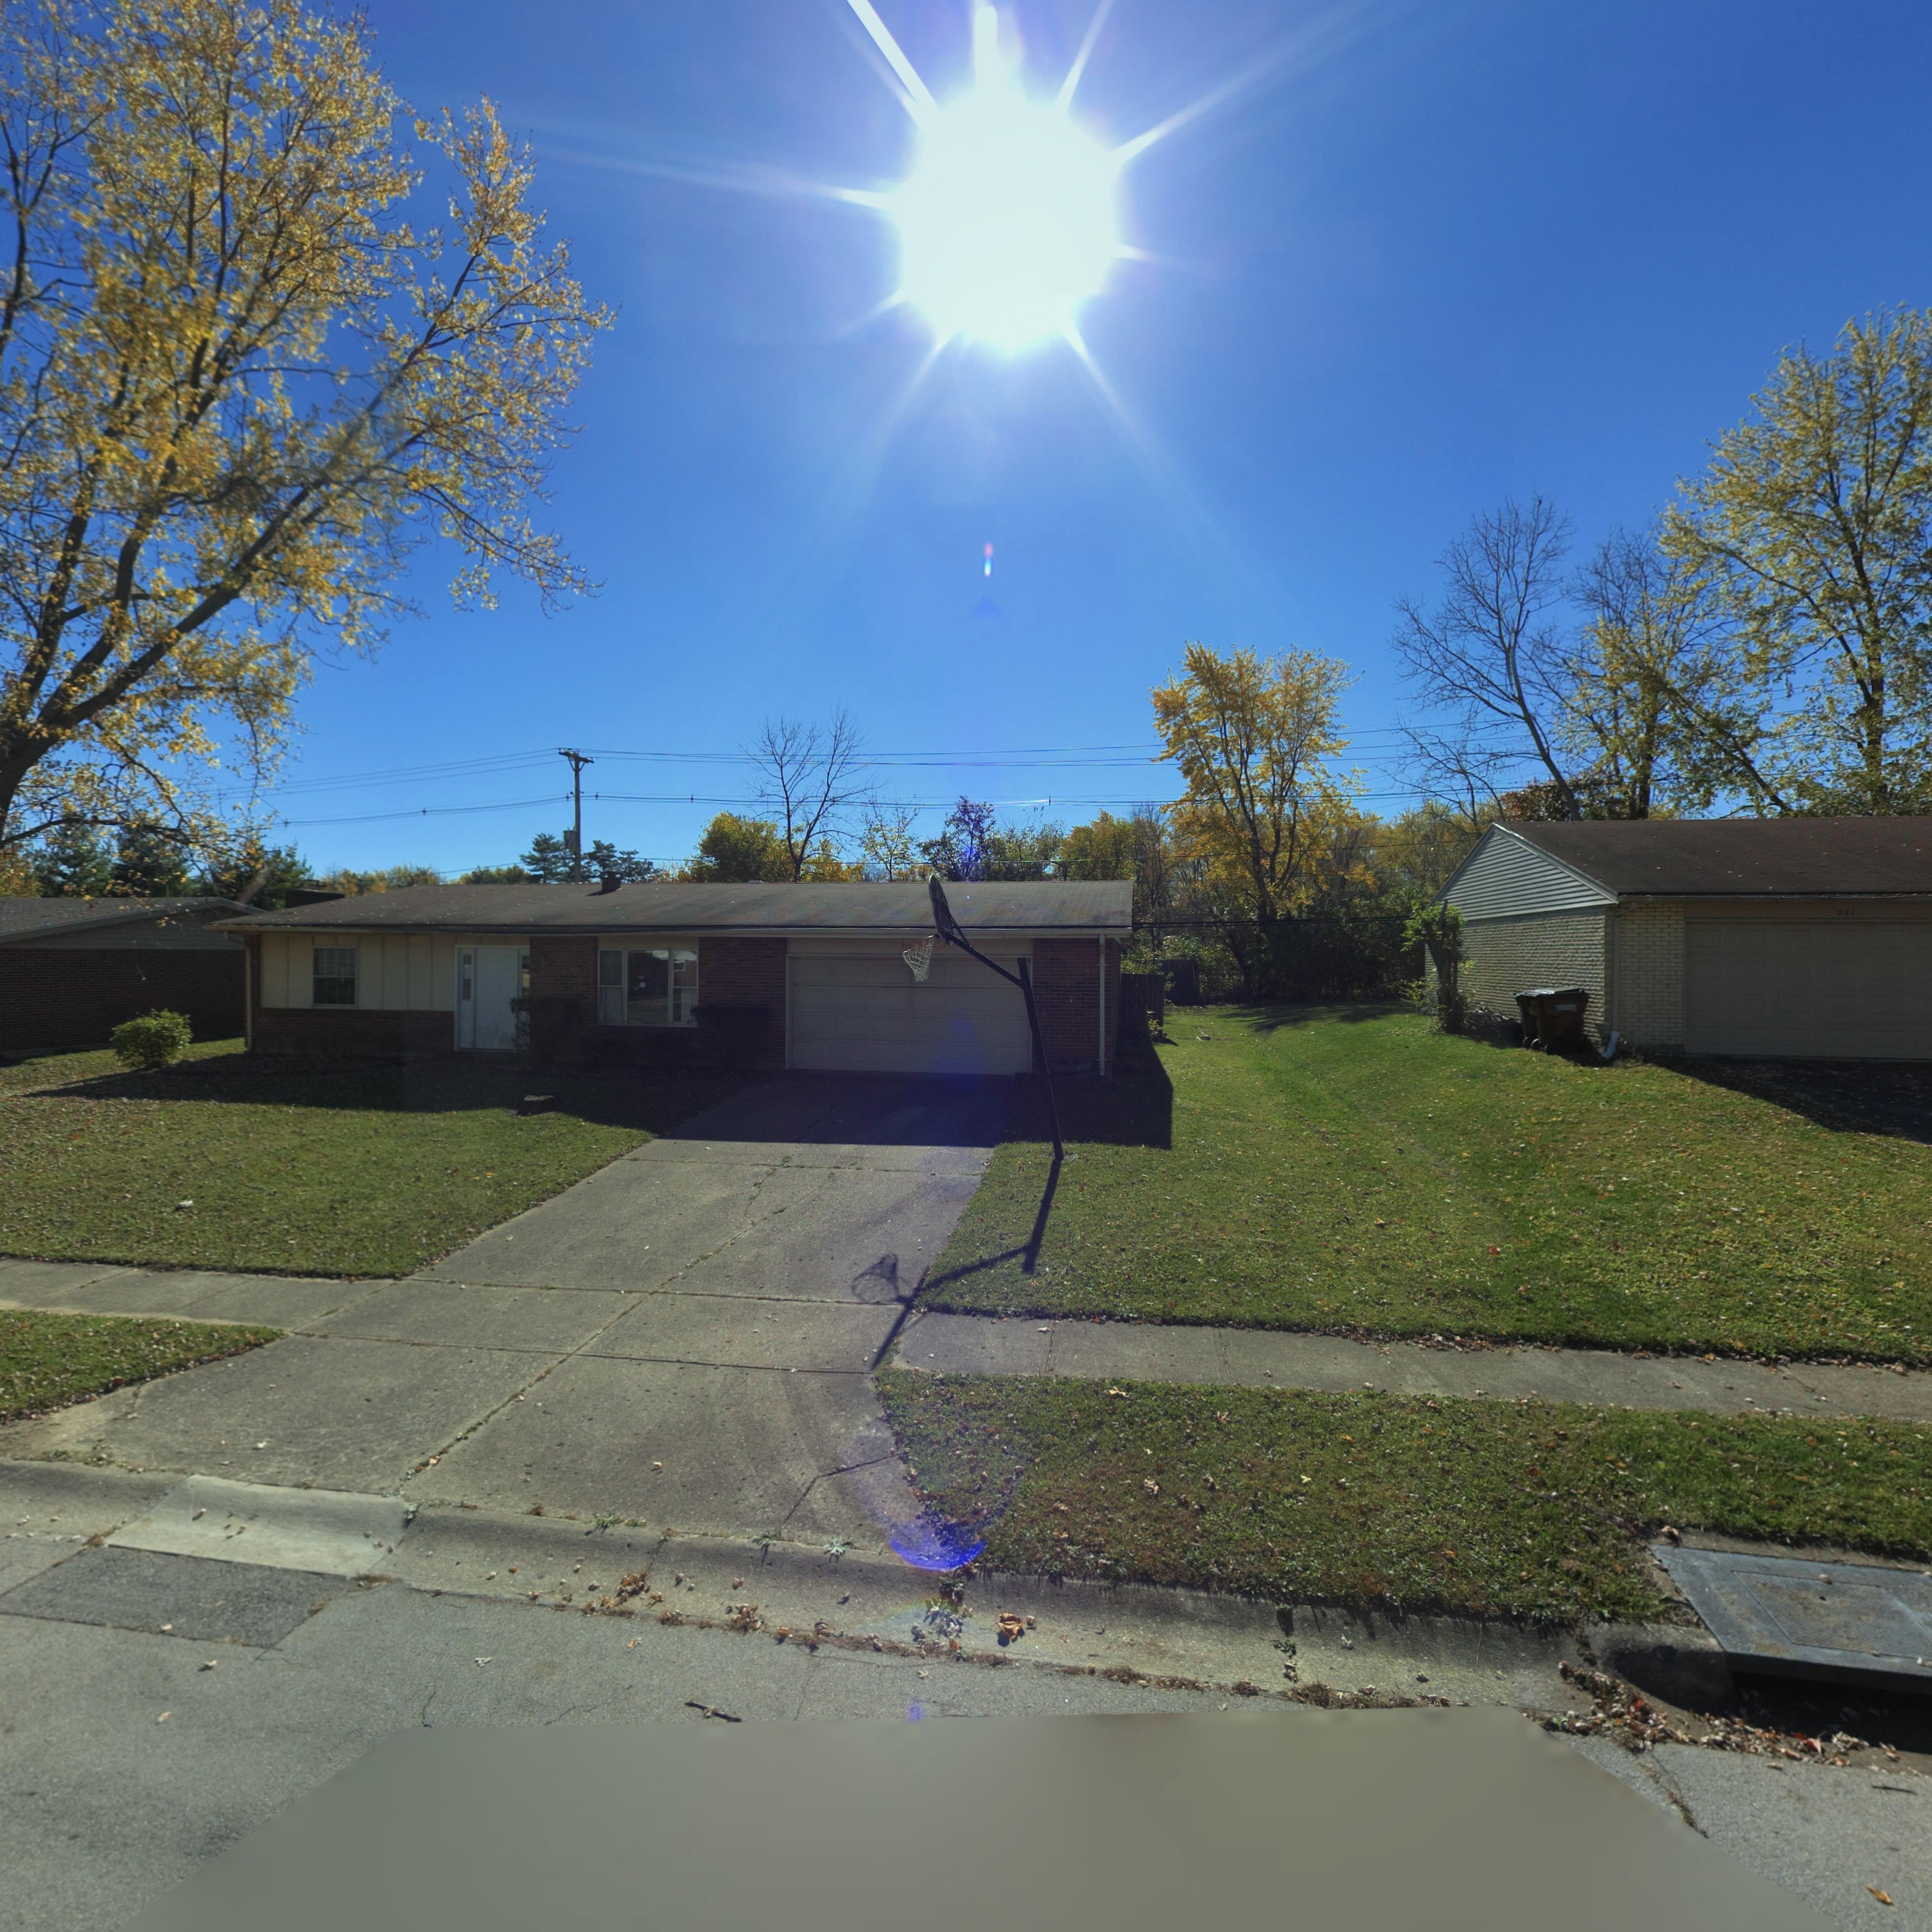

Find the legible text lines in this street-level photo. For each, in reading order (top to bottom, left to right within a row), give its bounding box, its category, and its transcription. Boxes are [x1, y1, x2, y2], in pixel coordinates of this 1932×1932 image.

[1837, 909, 1855, 916] StreetNumber: 221
[900, 943, 908, 949] StreetNumber: 21